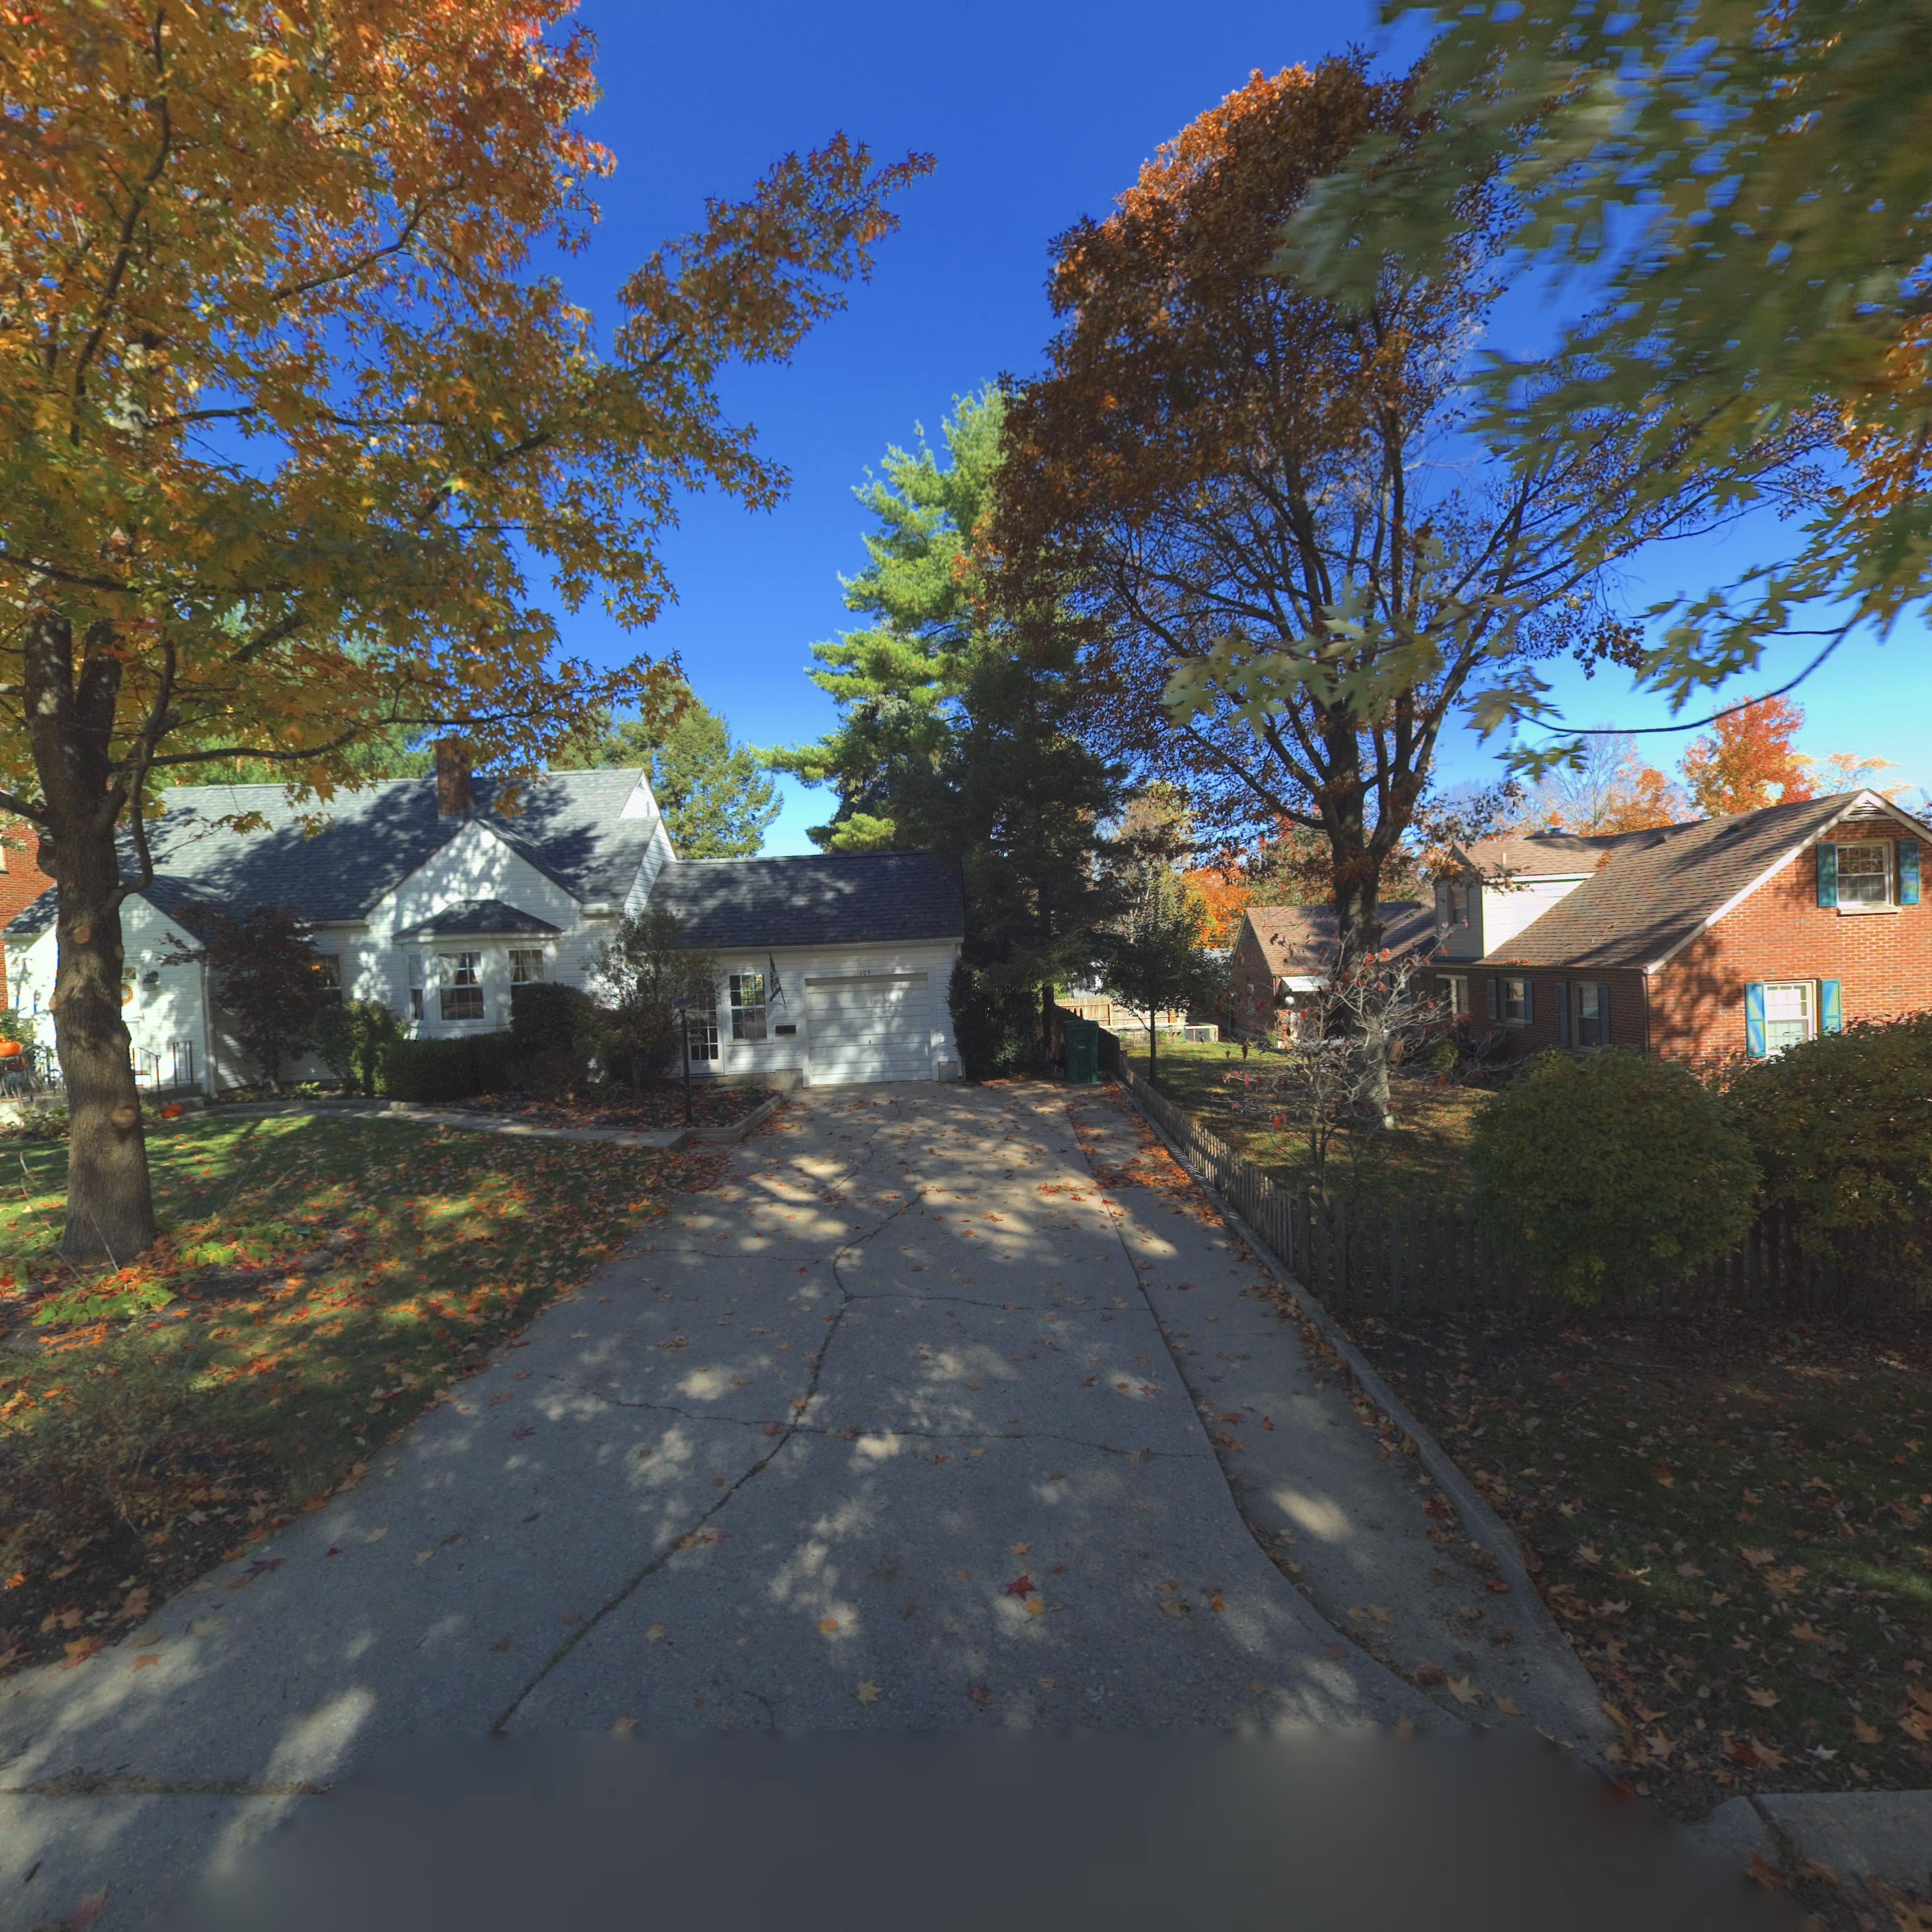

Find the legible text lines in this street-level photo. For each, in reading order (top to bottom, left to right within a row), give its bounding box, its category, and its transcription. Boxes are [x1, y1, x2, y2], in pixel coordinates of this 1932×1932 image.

[859, 969, 872, 976] StreetNumber: 109